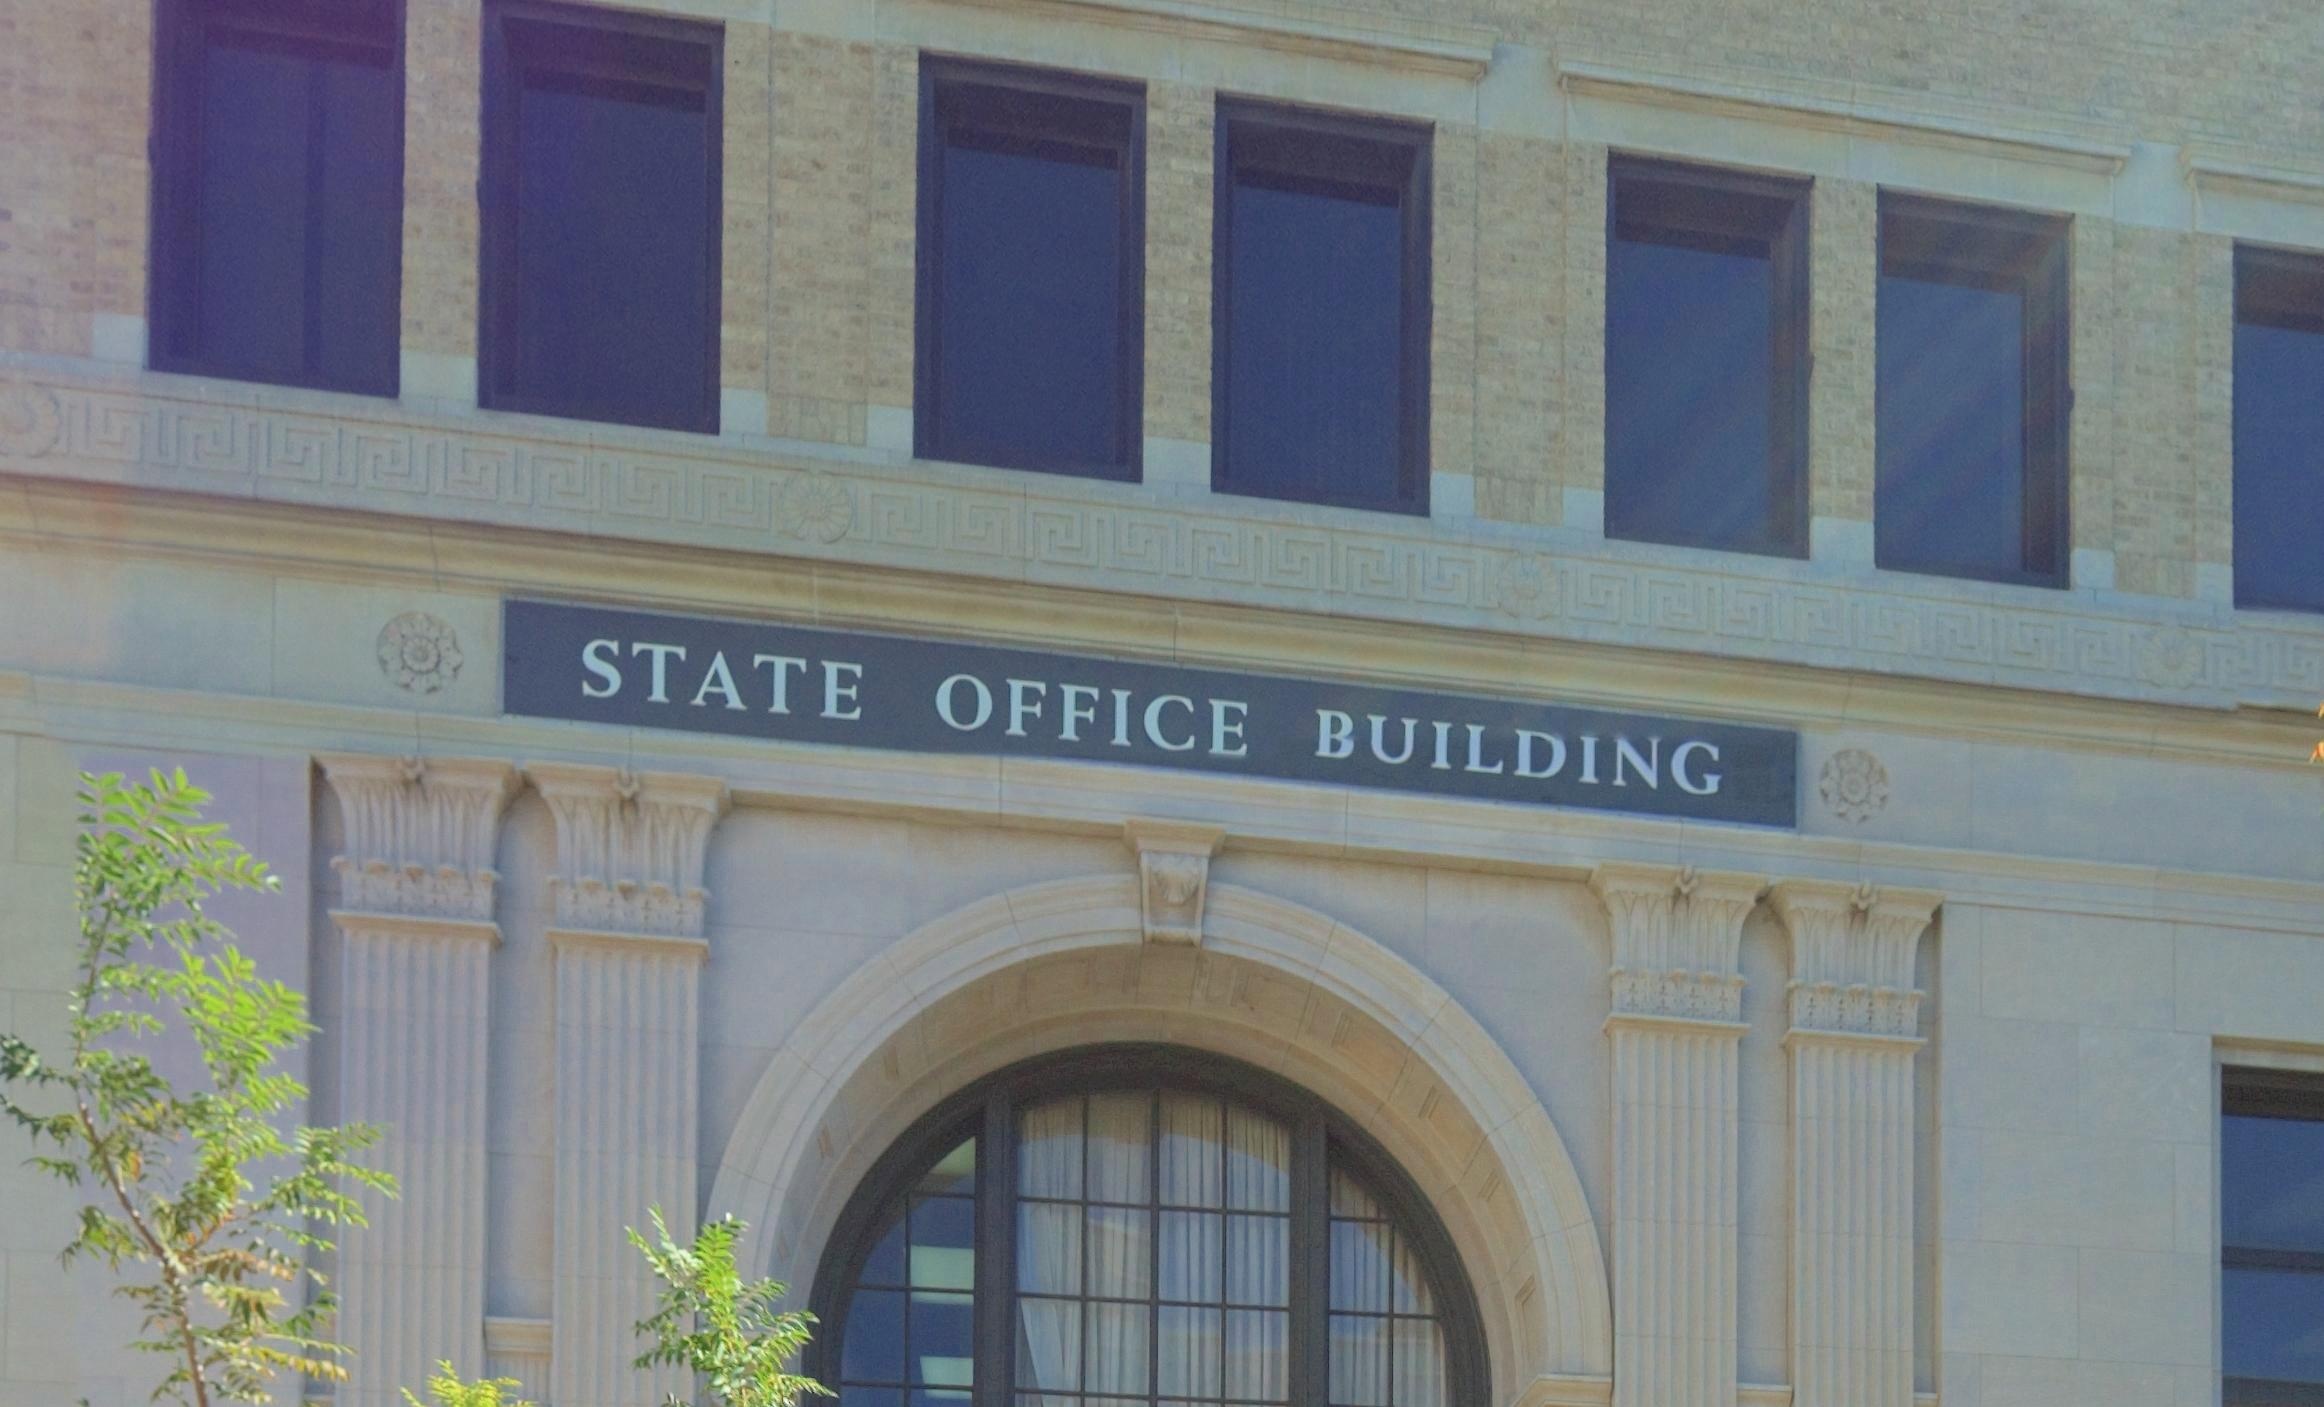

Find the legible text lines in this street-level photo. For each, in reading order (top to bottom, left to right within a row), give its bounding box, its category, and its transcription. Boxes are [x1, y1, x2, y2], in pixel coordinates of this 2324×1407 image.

[570, 631, 1729, 805] None: STATE OFFICE BUILDING